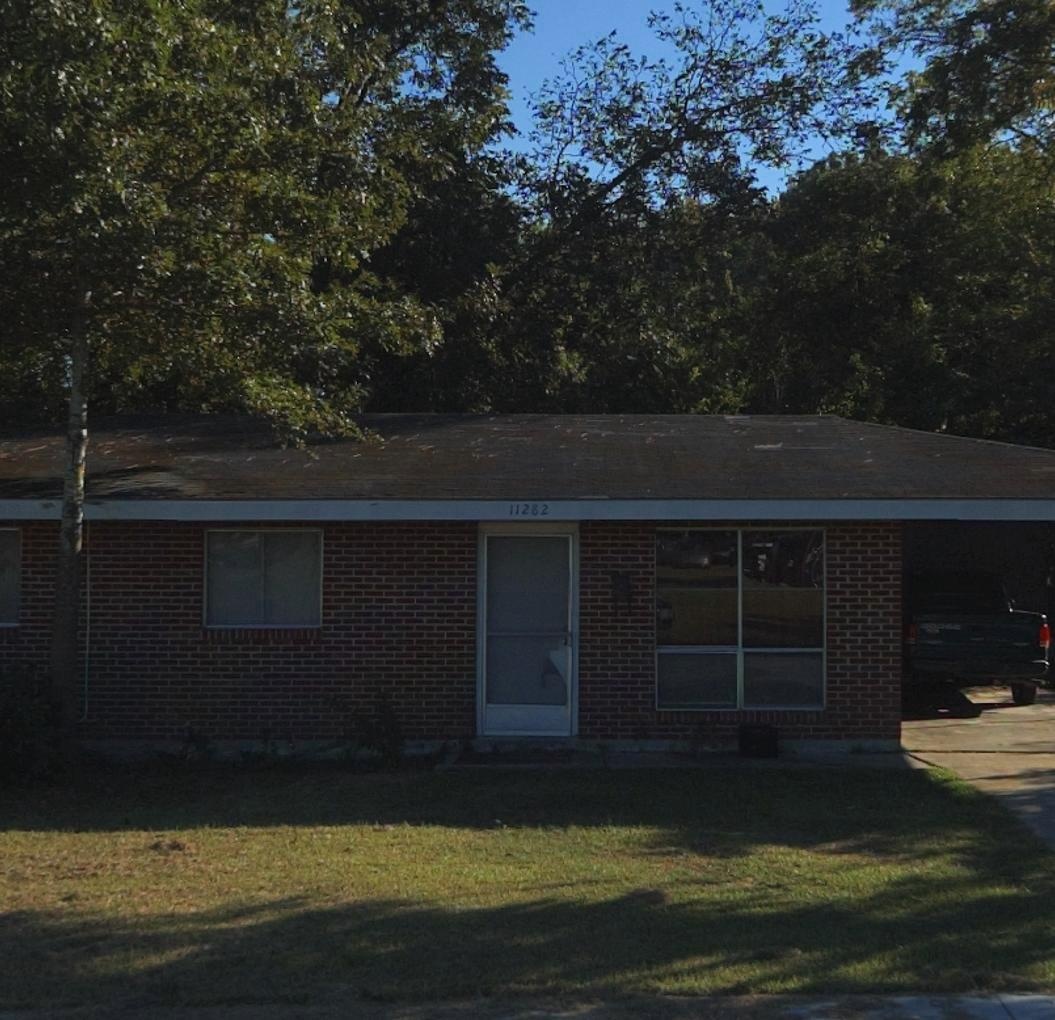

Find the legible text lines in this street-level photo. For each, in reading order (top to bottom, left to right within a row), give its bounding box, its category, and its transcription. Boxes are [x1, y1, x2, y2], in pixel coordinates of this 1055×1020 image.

[508, 503, 549, 516] StreetNumber: 11282